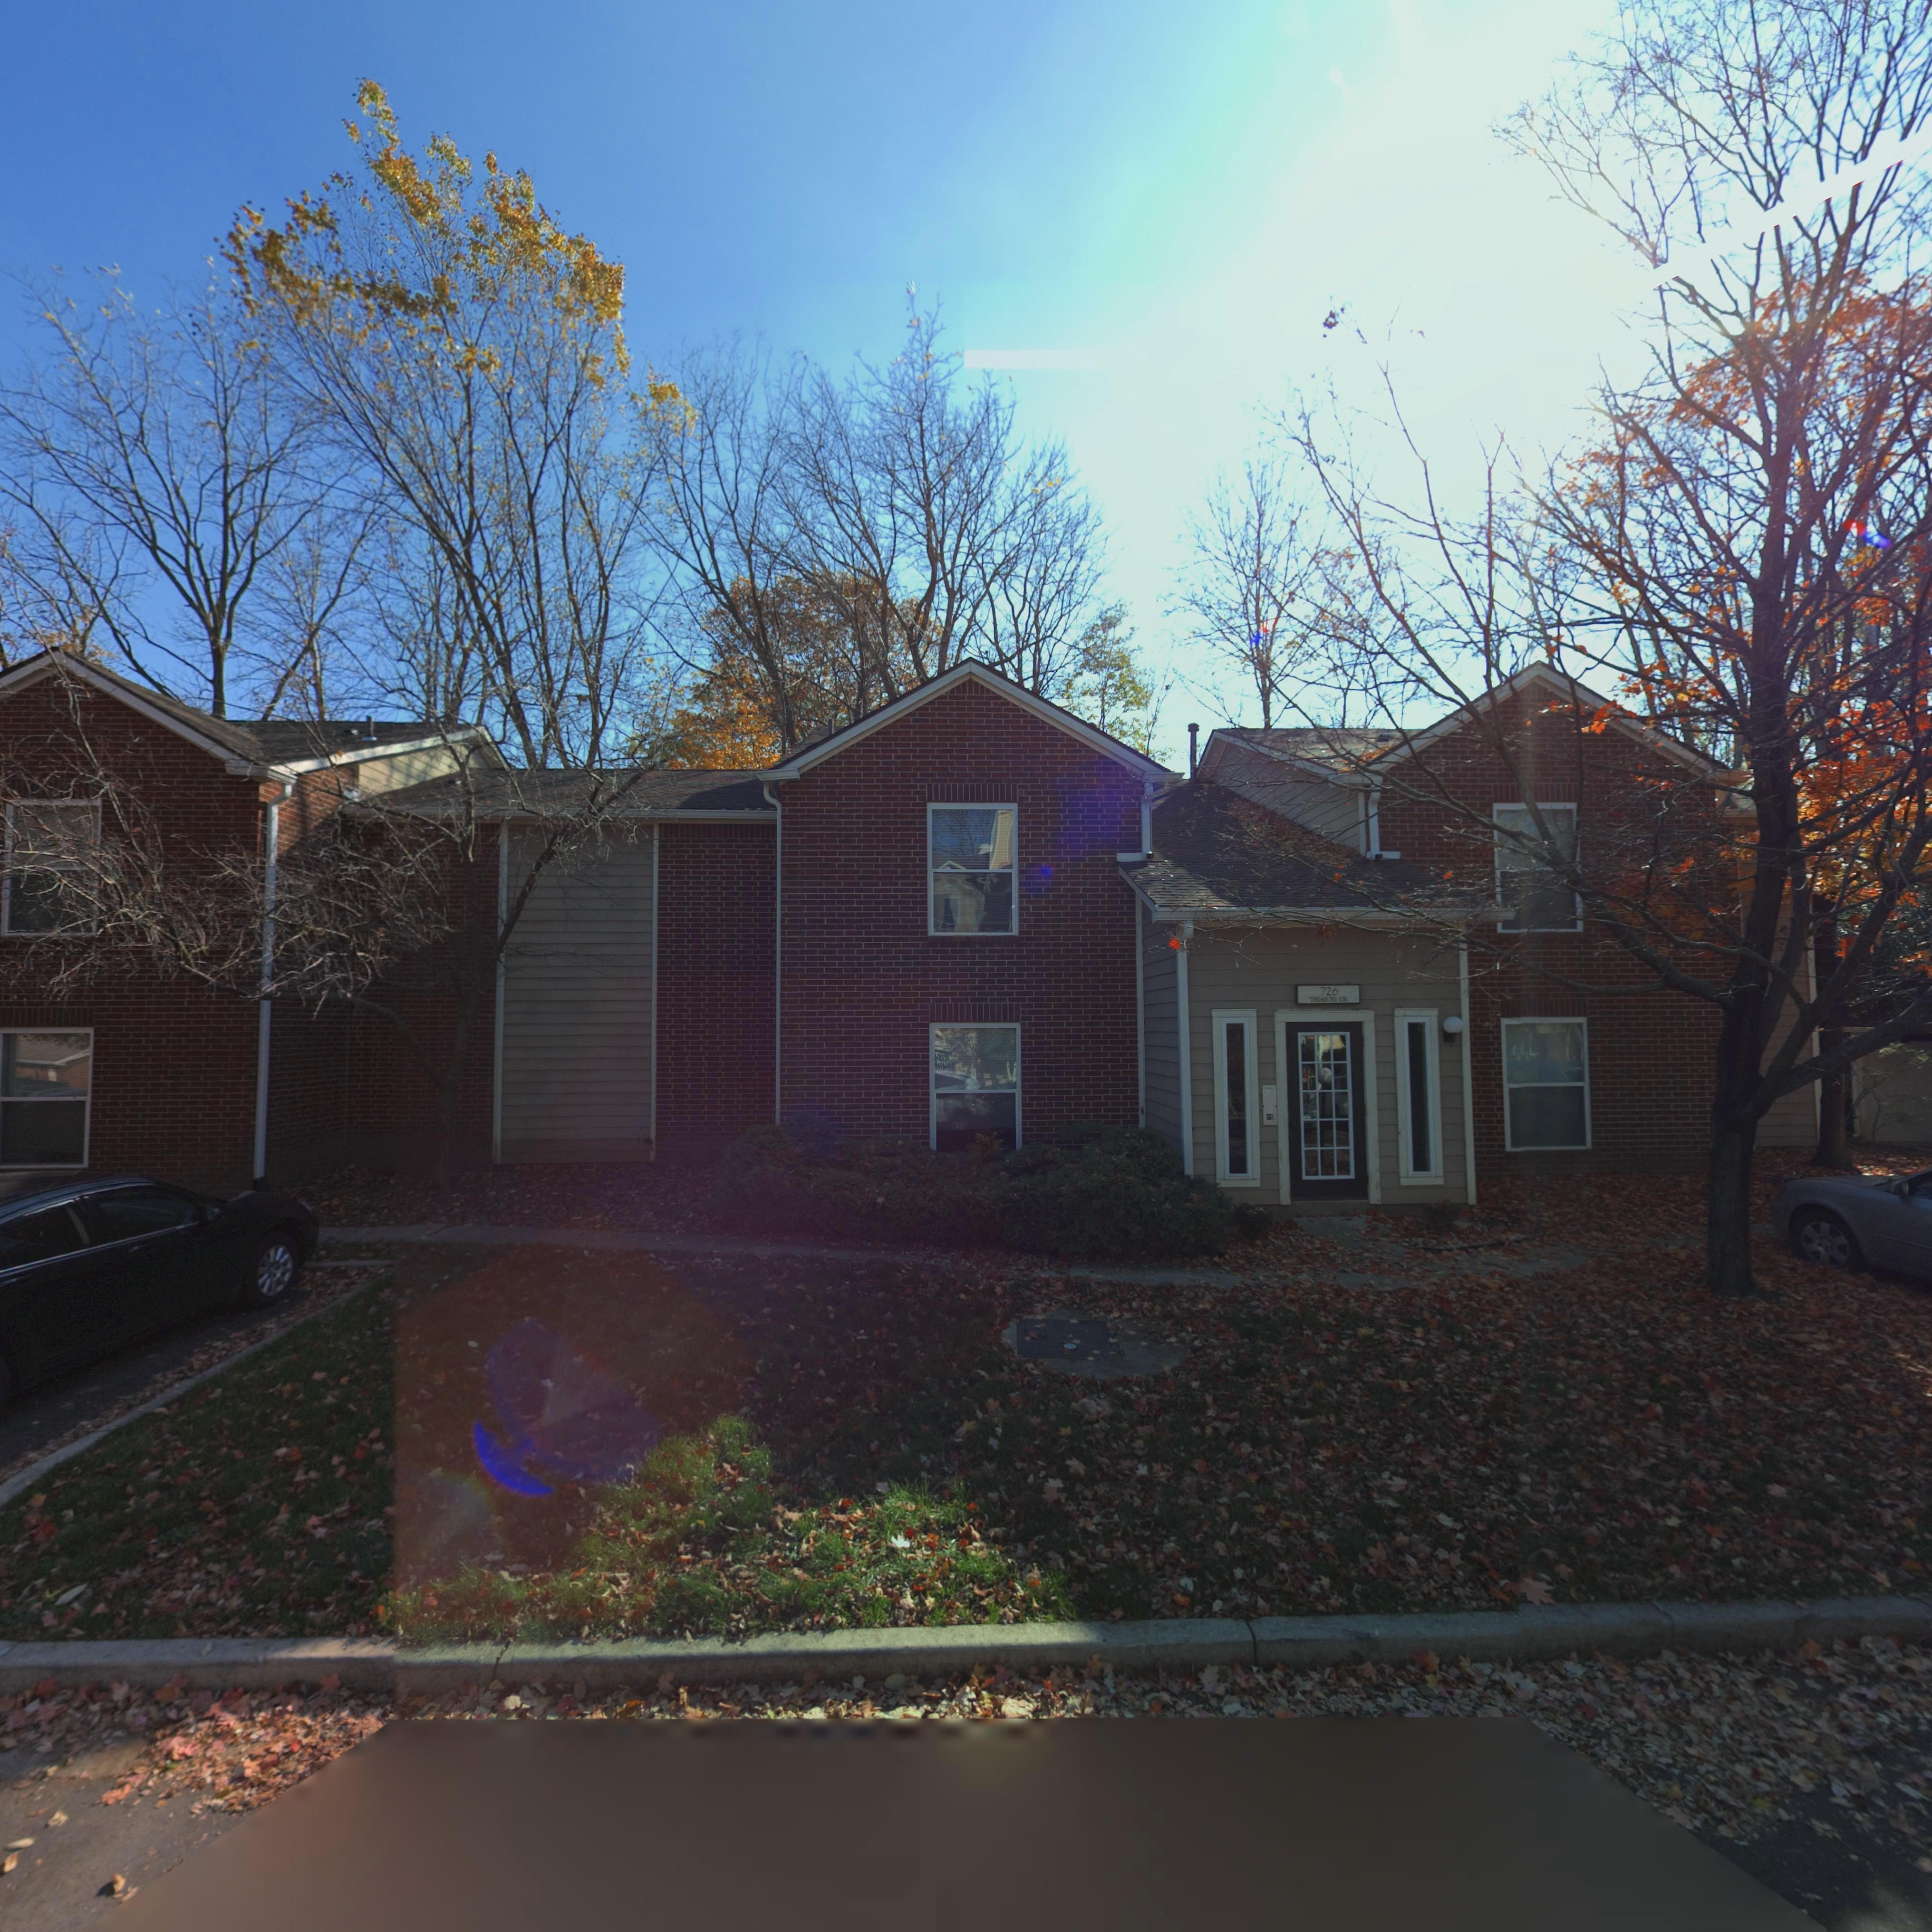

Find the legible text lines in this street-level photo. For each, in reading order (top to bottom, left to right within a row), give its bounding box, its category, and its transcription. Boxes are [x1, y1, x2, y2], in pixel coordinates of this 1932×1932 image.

[1319, 985, 1340, 996] StreetNumber: 726
[1309, 995, 1349, 1003] StreetName: TREAS*** DR